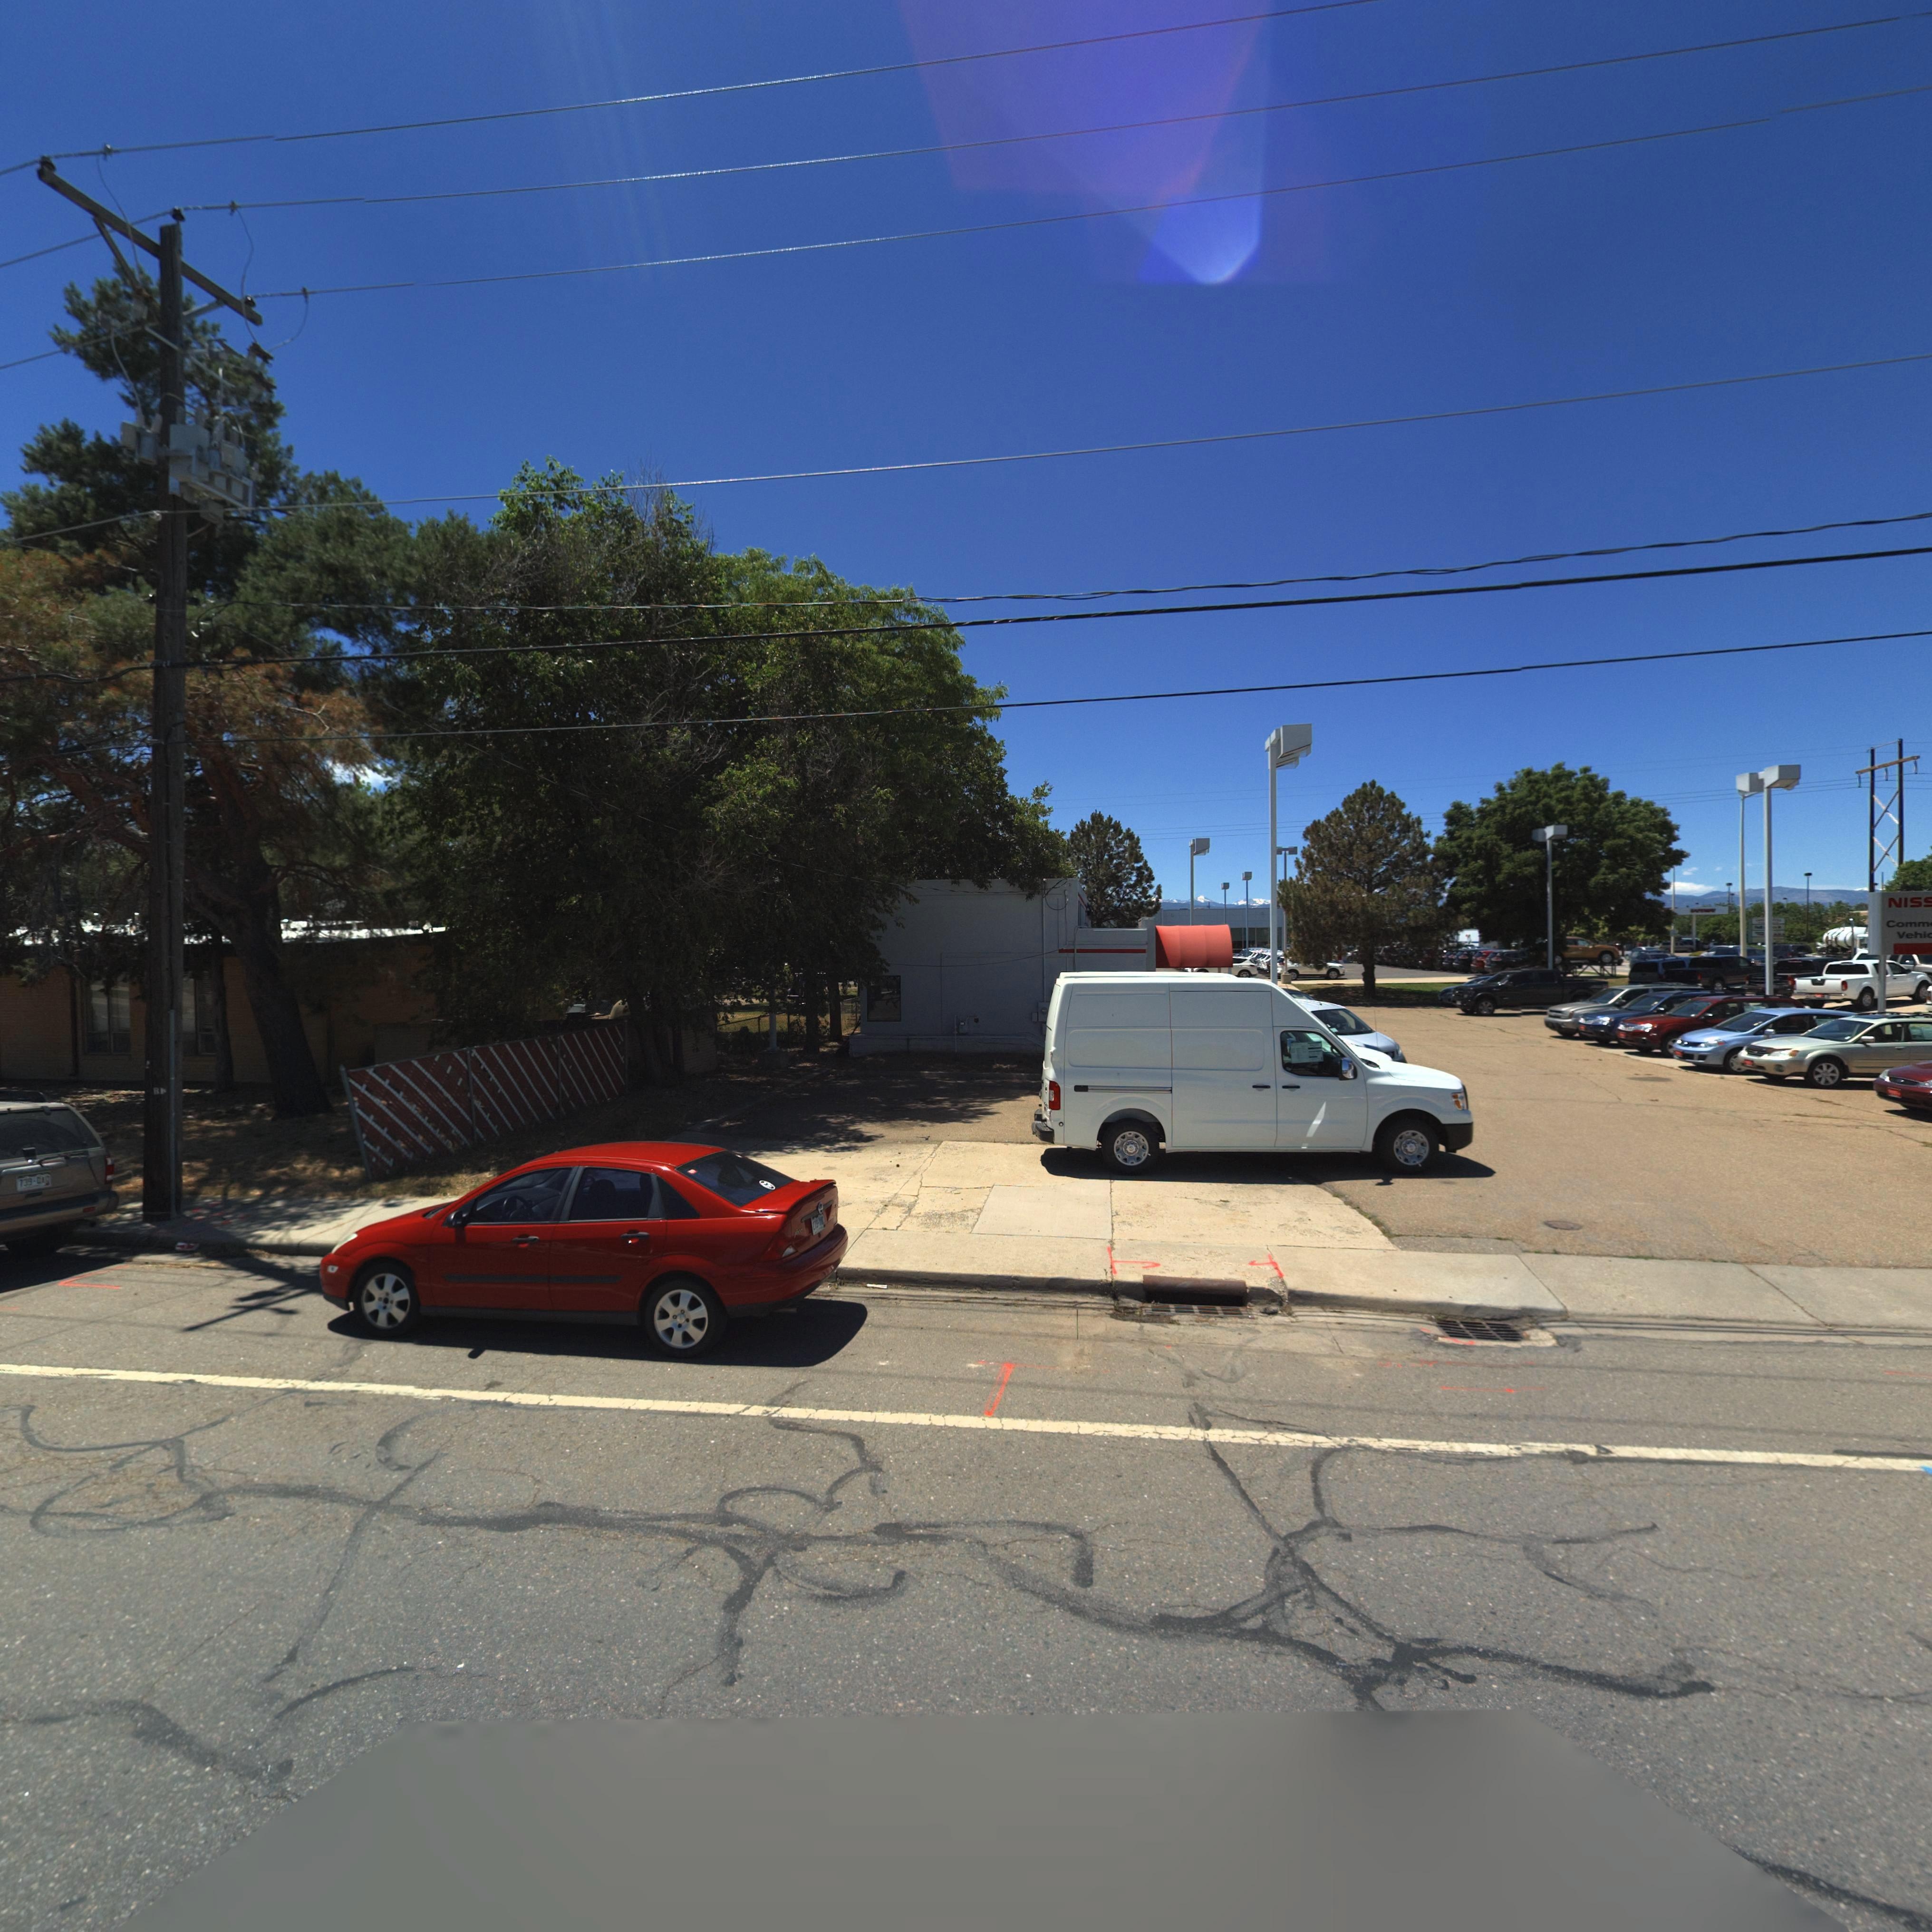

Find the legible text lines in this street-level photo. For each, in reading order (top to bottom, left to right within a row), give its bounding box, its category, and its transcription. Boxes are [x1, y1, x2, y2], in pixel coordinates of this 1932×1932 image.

[1888, 896, 1931, 908] BusinessName: NIS***